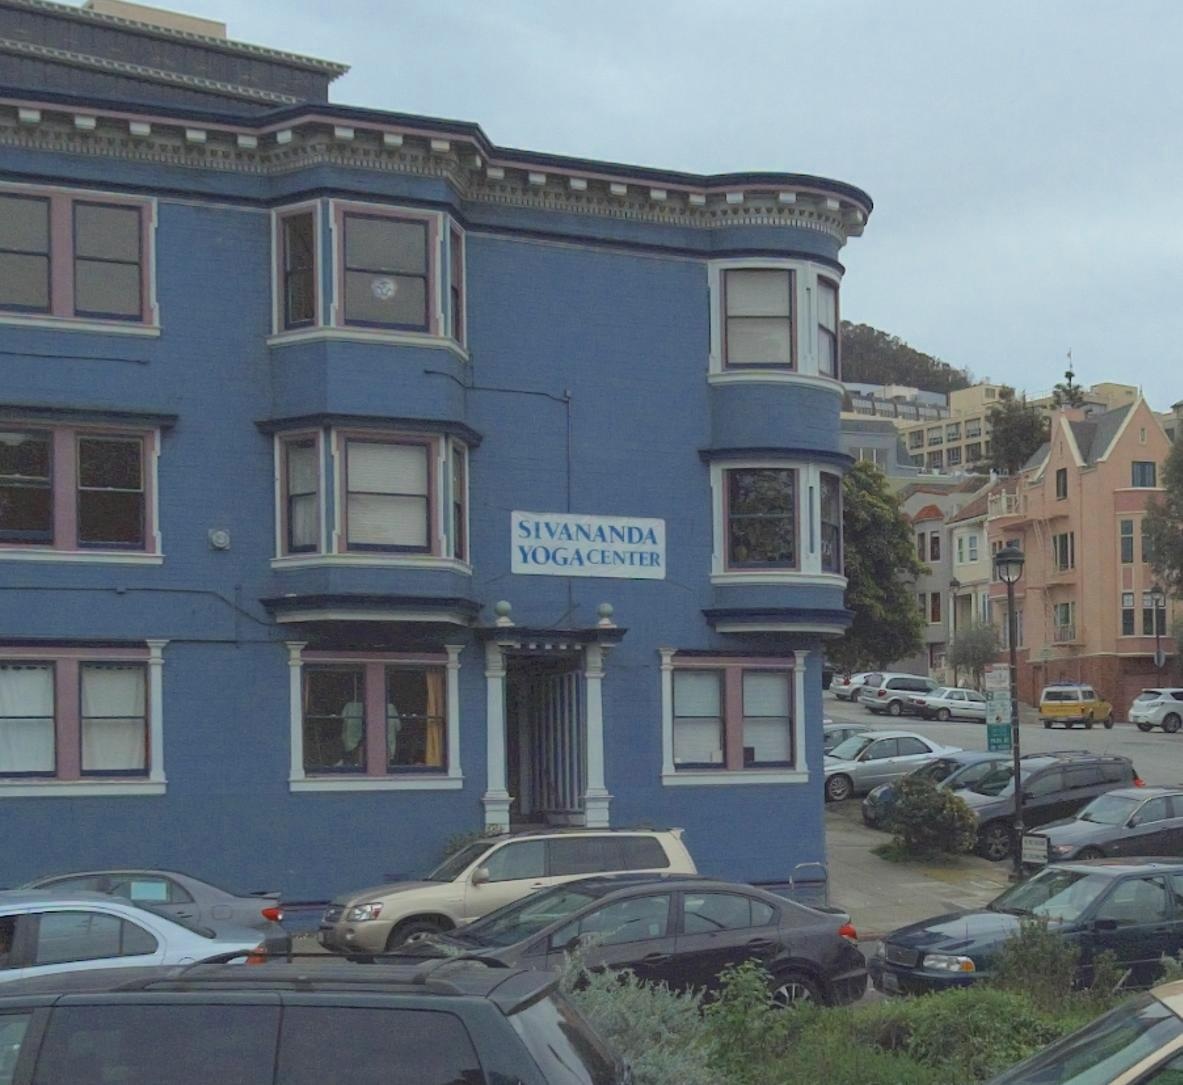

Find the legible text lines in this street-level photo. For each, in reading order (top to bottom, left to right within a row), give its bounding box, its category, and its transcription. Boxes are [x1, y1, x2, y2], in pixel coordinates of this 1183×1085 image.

[516, 517, 662, 548] BusinessName: SIVANANDA
[516, 542, 664, 569] BusinessName: YOGA CENTER